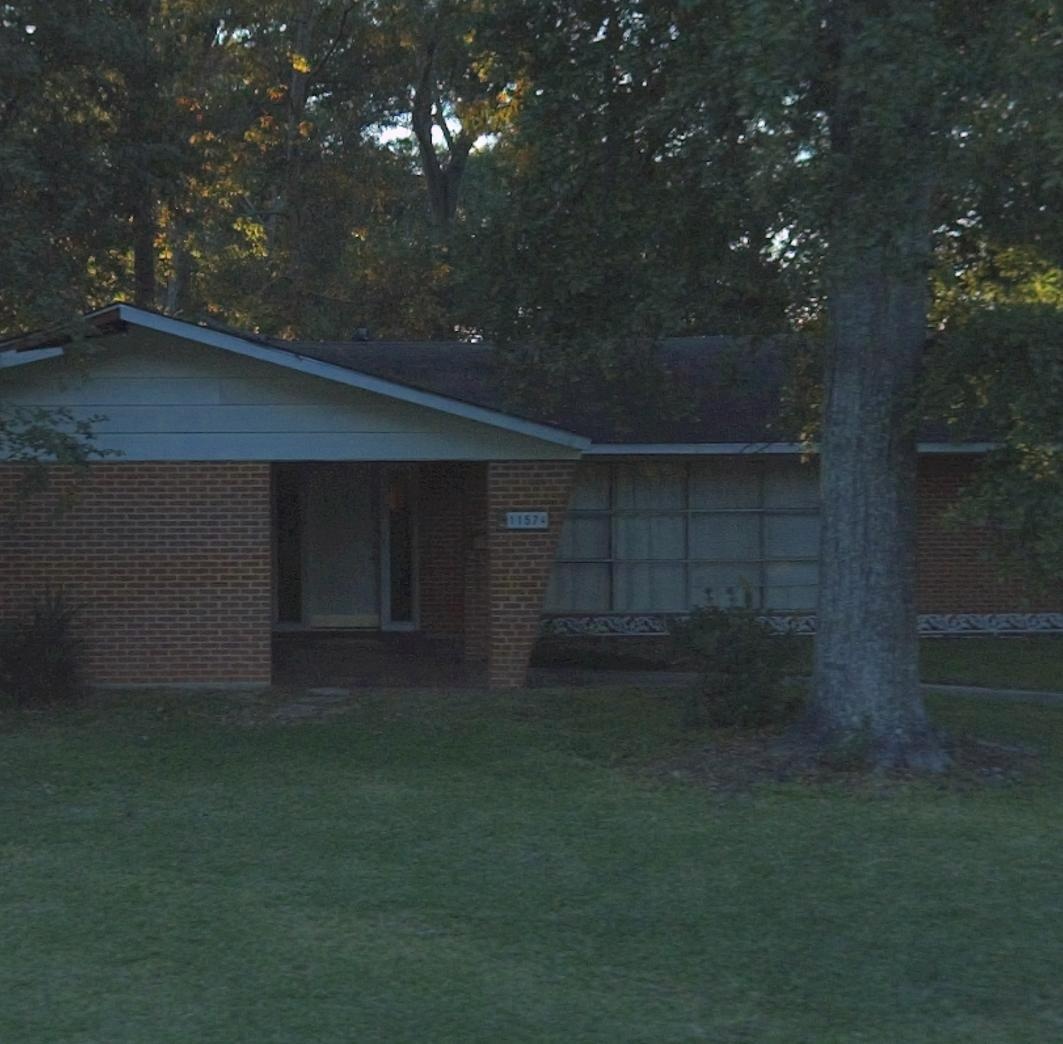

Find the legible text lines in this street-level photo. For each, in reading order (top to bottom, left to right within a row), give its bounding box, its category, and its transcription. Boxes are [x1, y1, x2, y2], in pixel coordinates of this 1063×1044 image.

[508, 514, 548, 527] StreetNumber: 11574